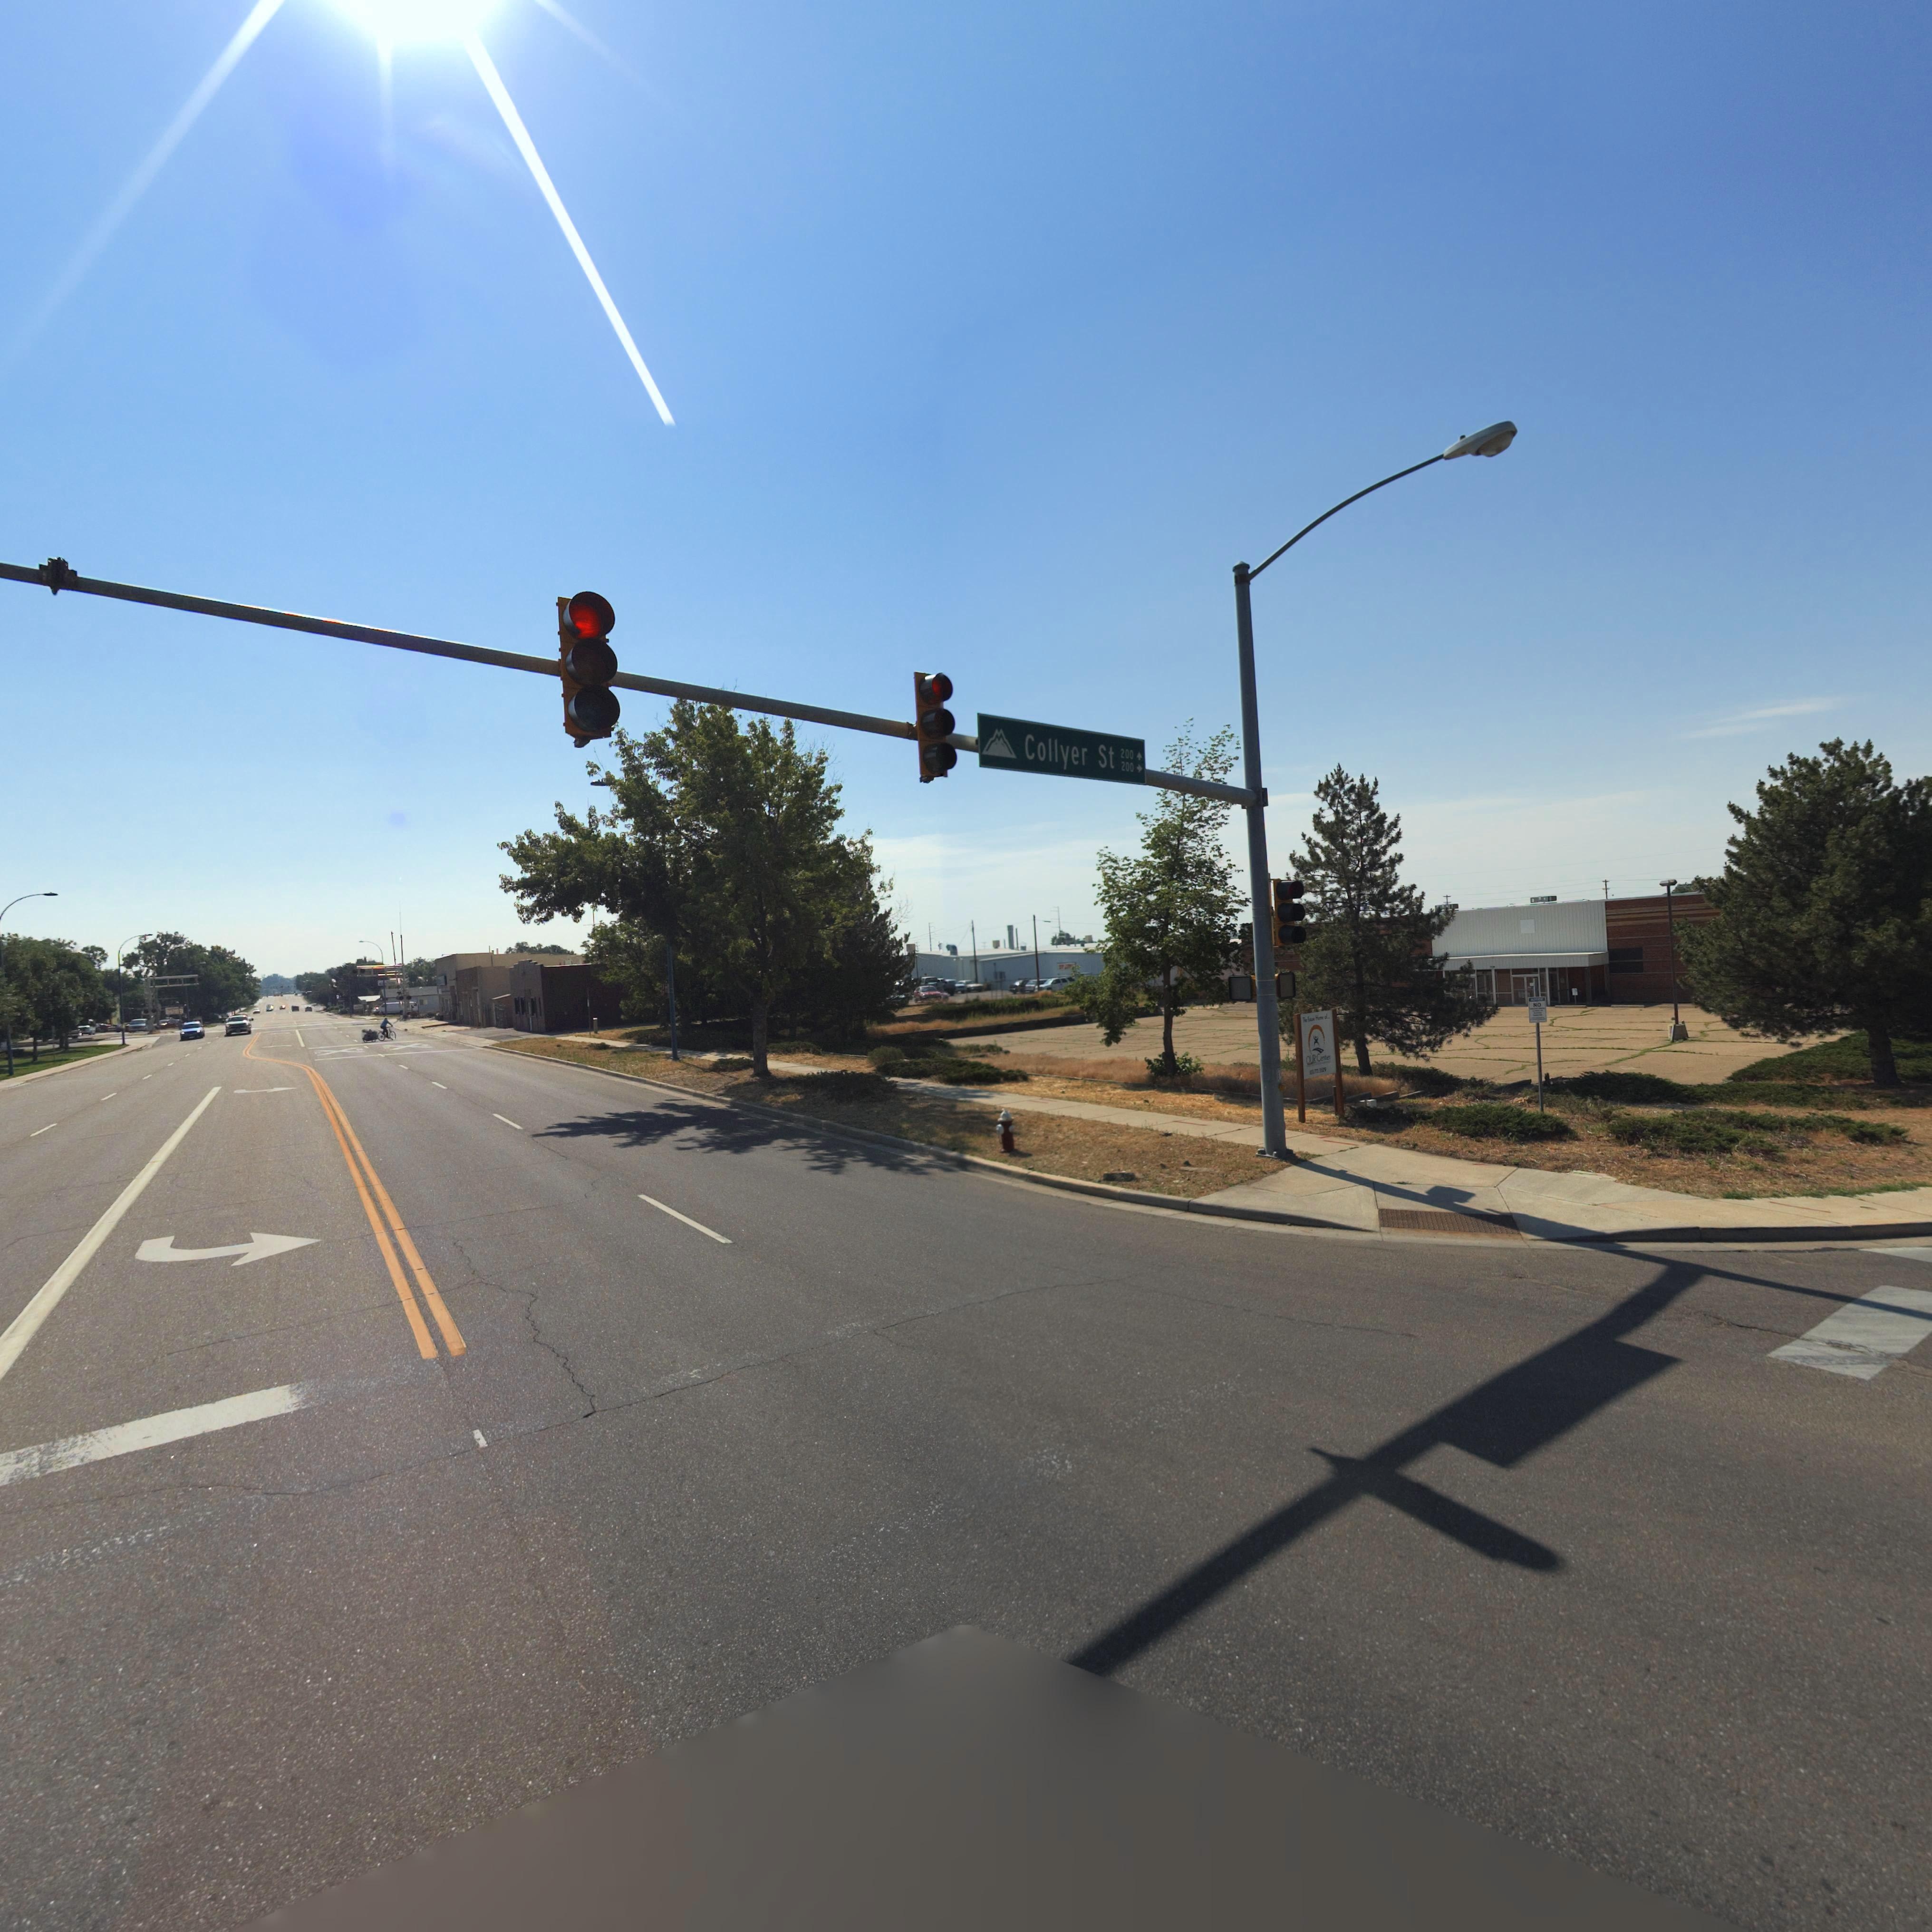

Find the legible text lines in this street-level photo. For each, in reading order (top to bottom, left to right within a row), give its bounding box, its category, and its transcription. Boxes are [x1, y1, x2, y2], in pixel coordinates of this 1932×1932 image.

[1024, 732, 1117, 771] StreetName: Collyer St
[1120, 747, 1134, 760] StreetNumberRange: 200
[1121, 761, 1143, 773] StreetNumberRange: 200->
[1305, 1053, 1331, 1065] BusinessName: OUR Center